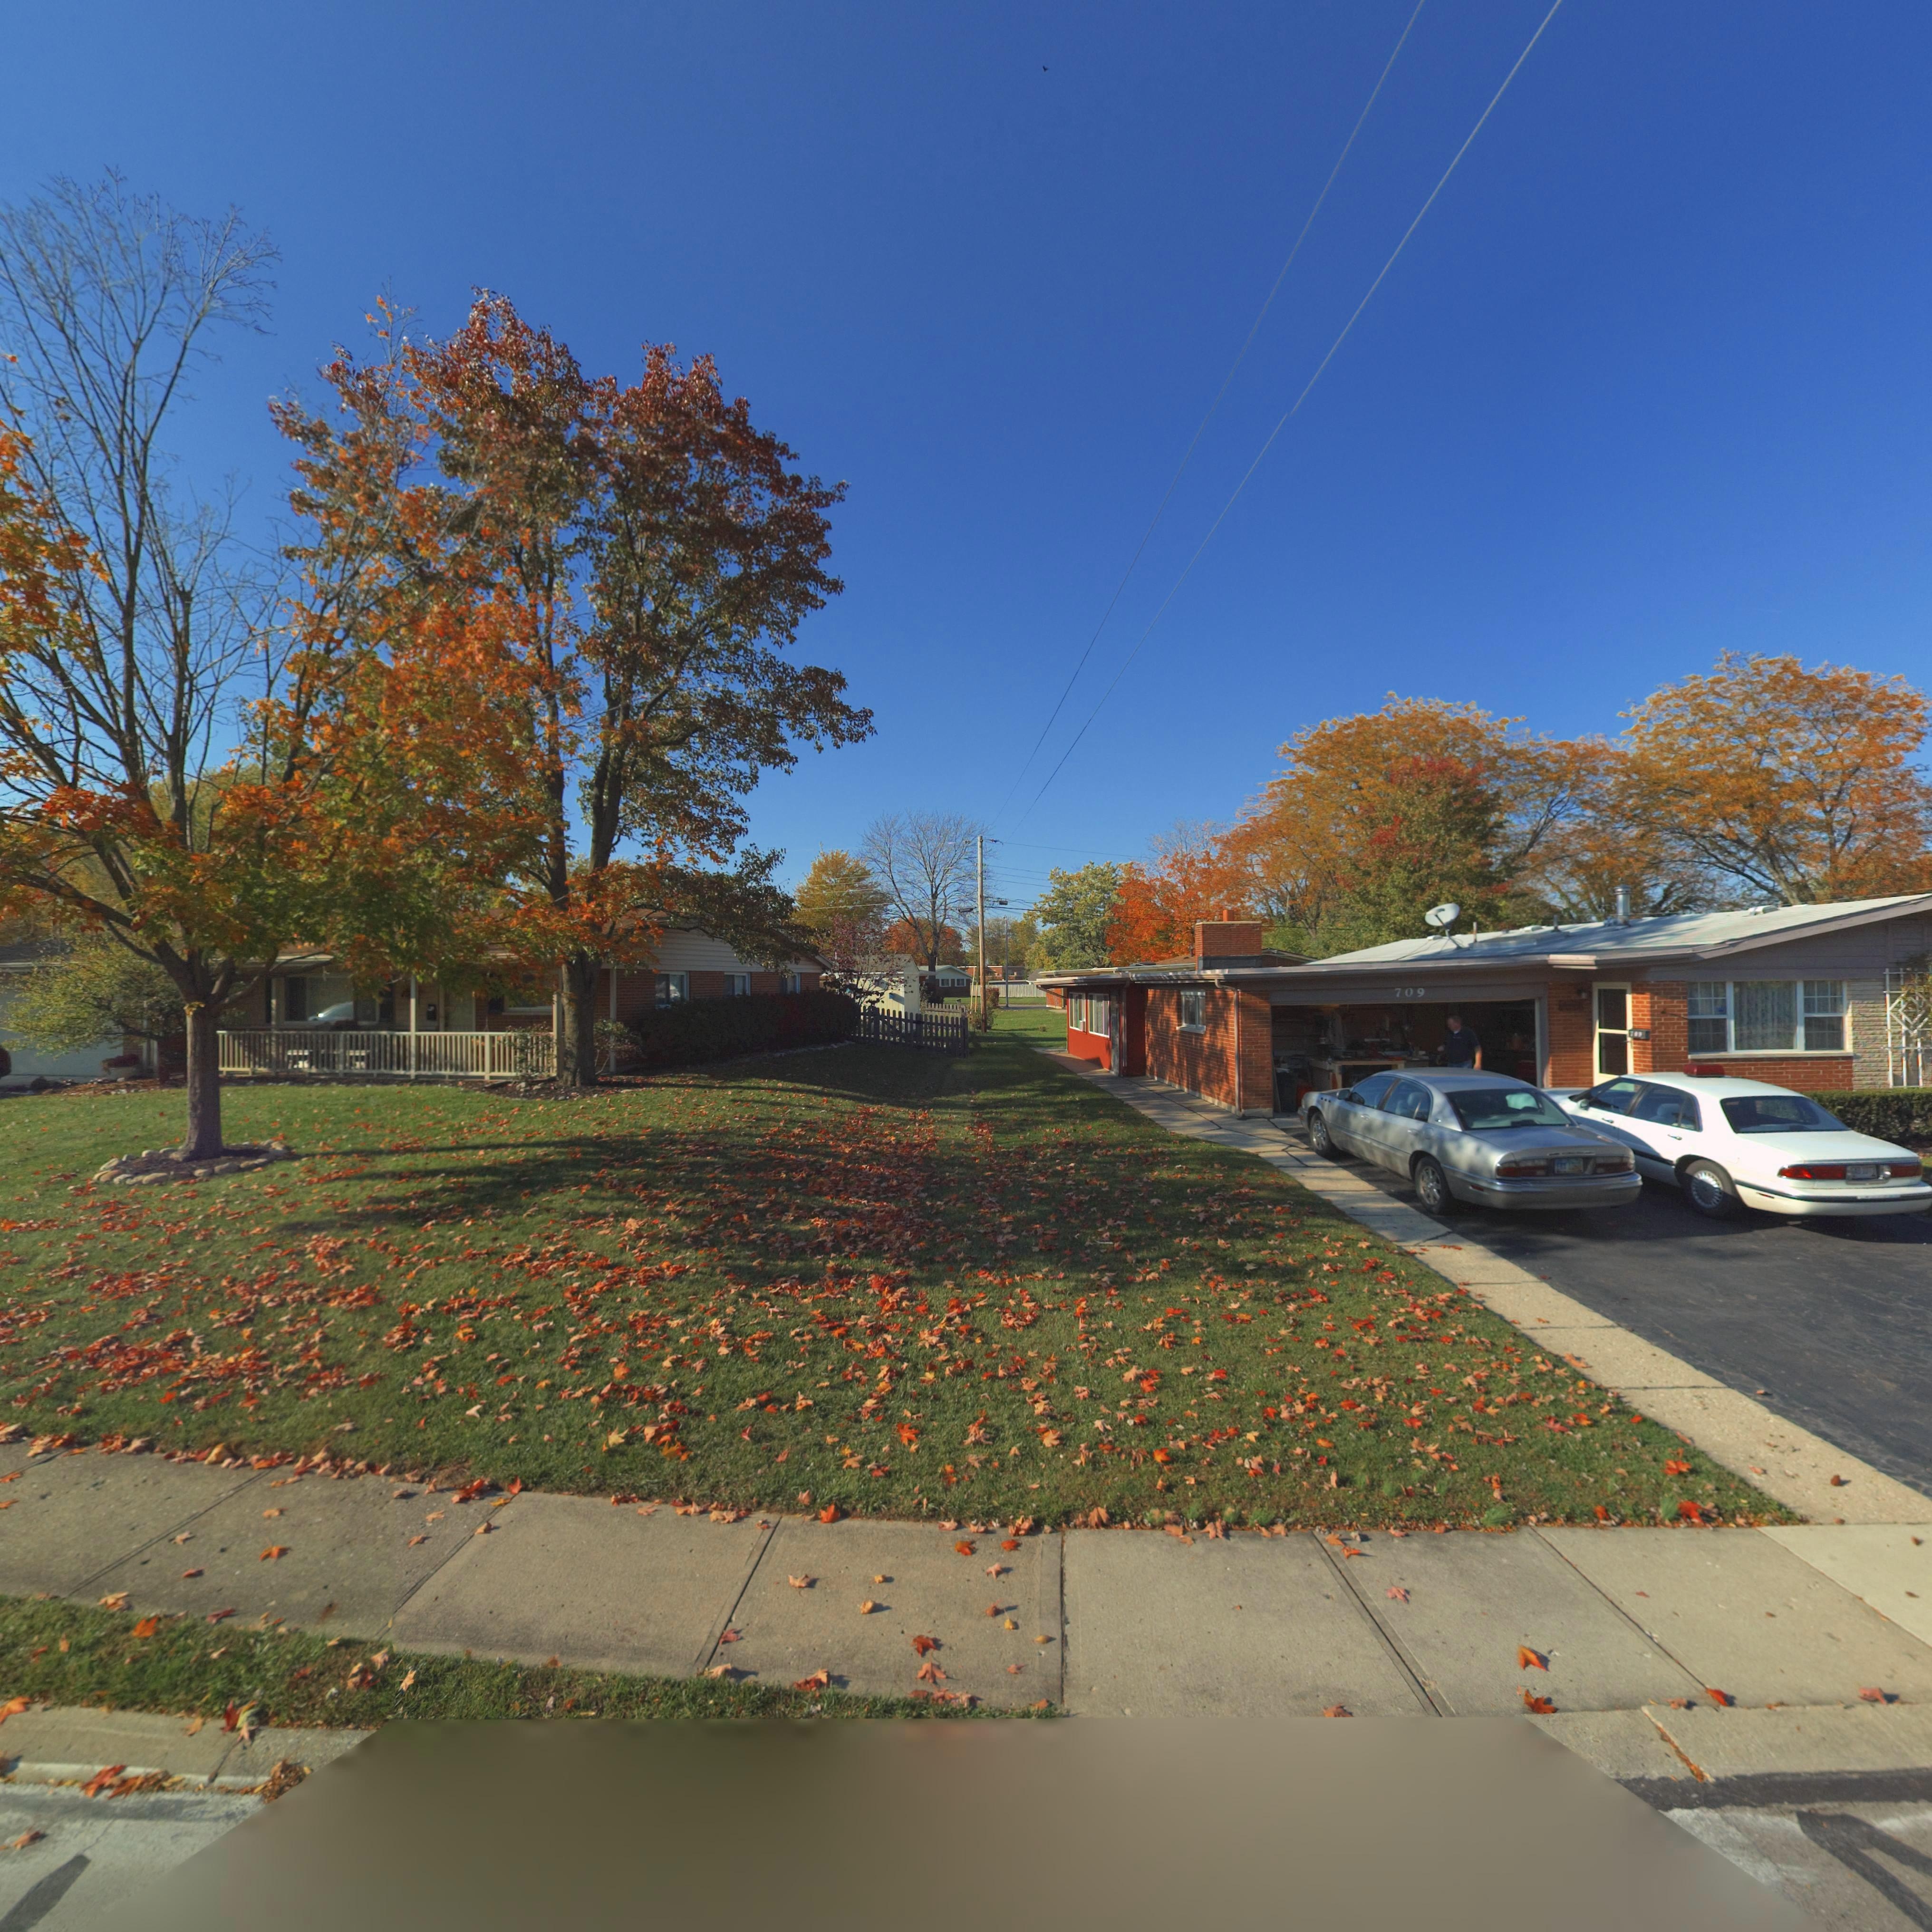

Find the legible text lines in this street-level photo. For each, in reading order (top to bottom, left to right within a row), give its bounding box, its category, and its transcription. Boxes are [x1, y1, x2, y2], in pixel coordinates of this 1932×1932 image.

[1393, 987, 1425, 998] StreetNumber: 709
[1630, 1031, 1643, 1038] StreetNumber: 709